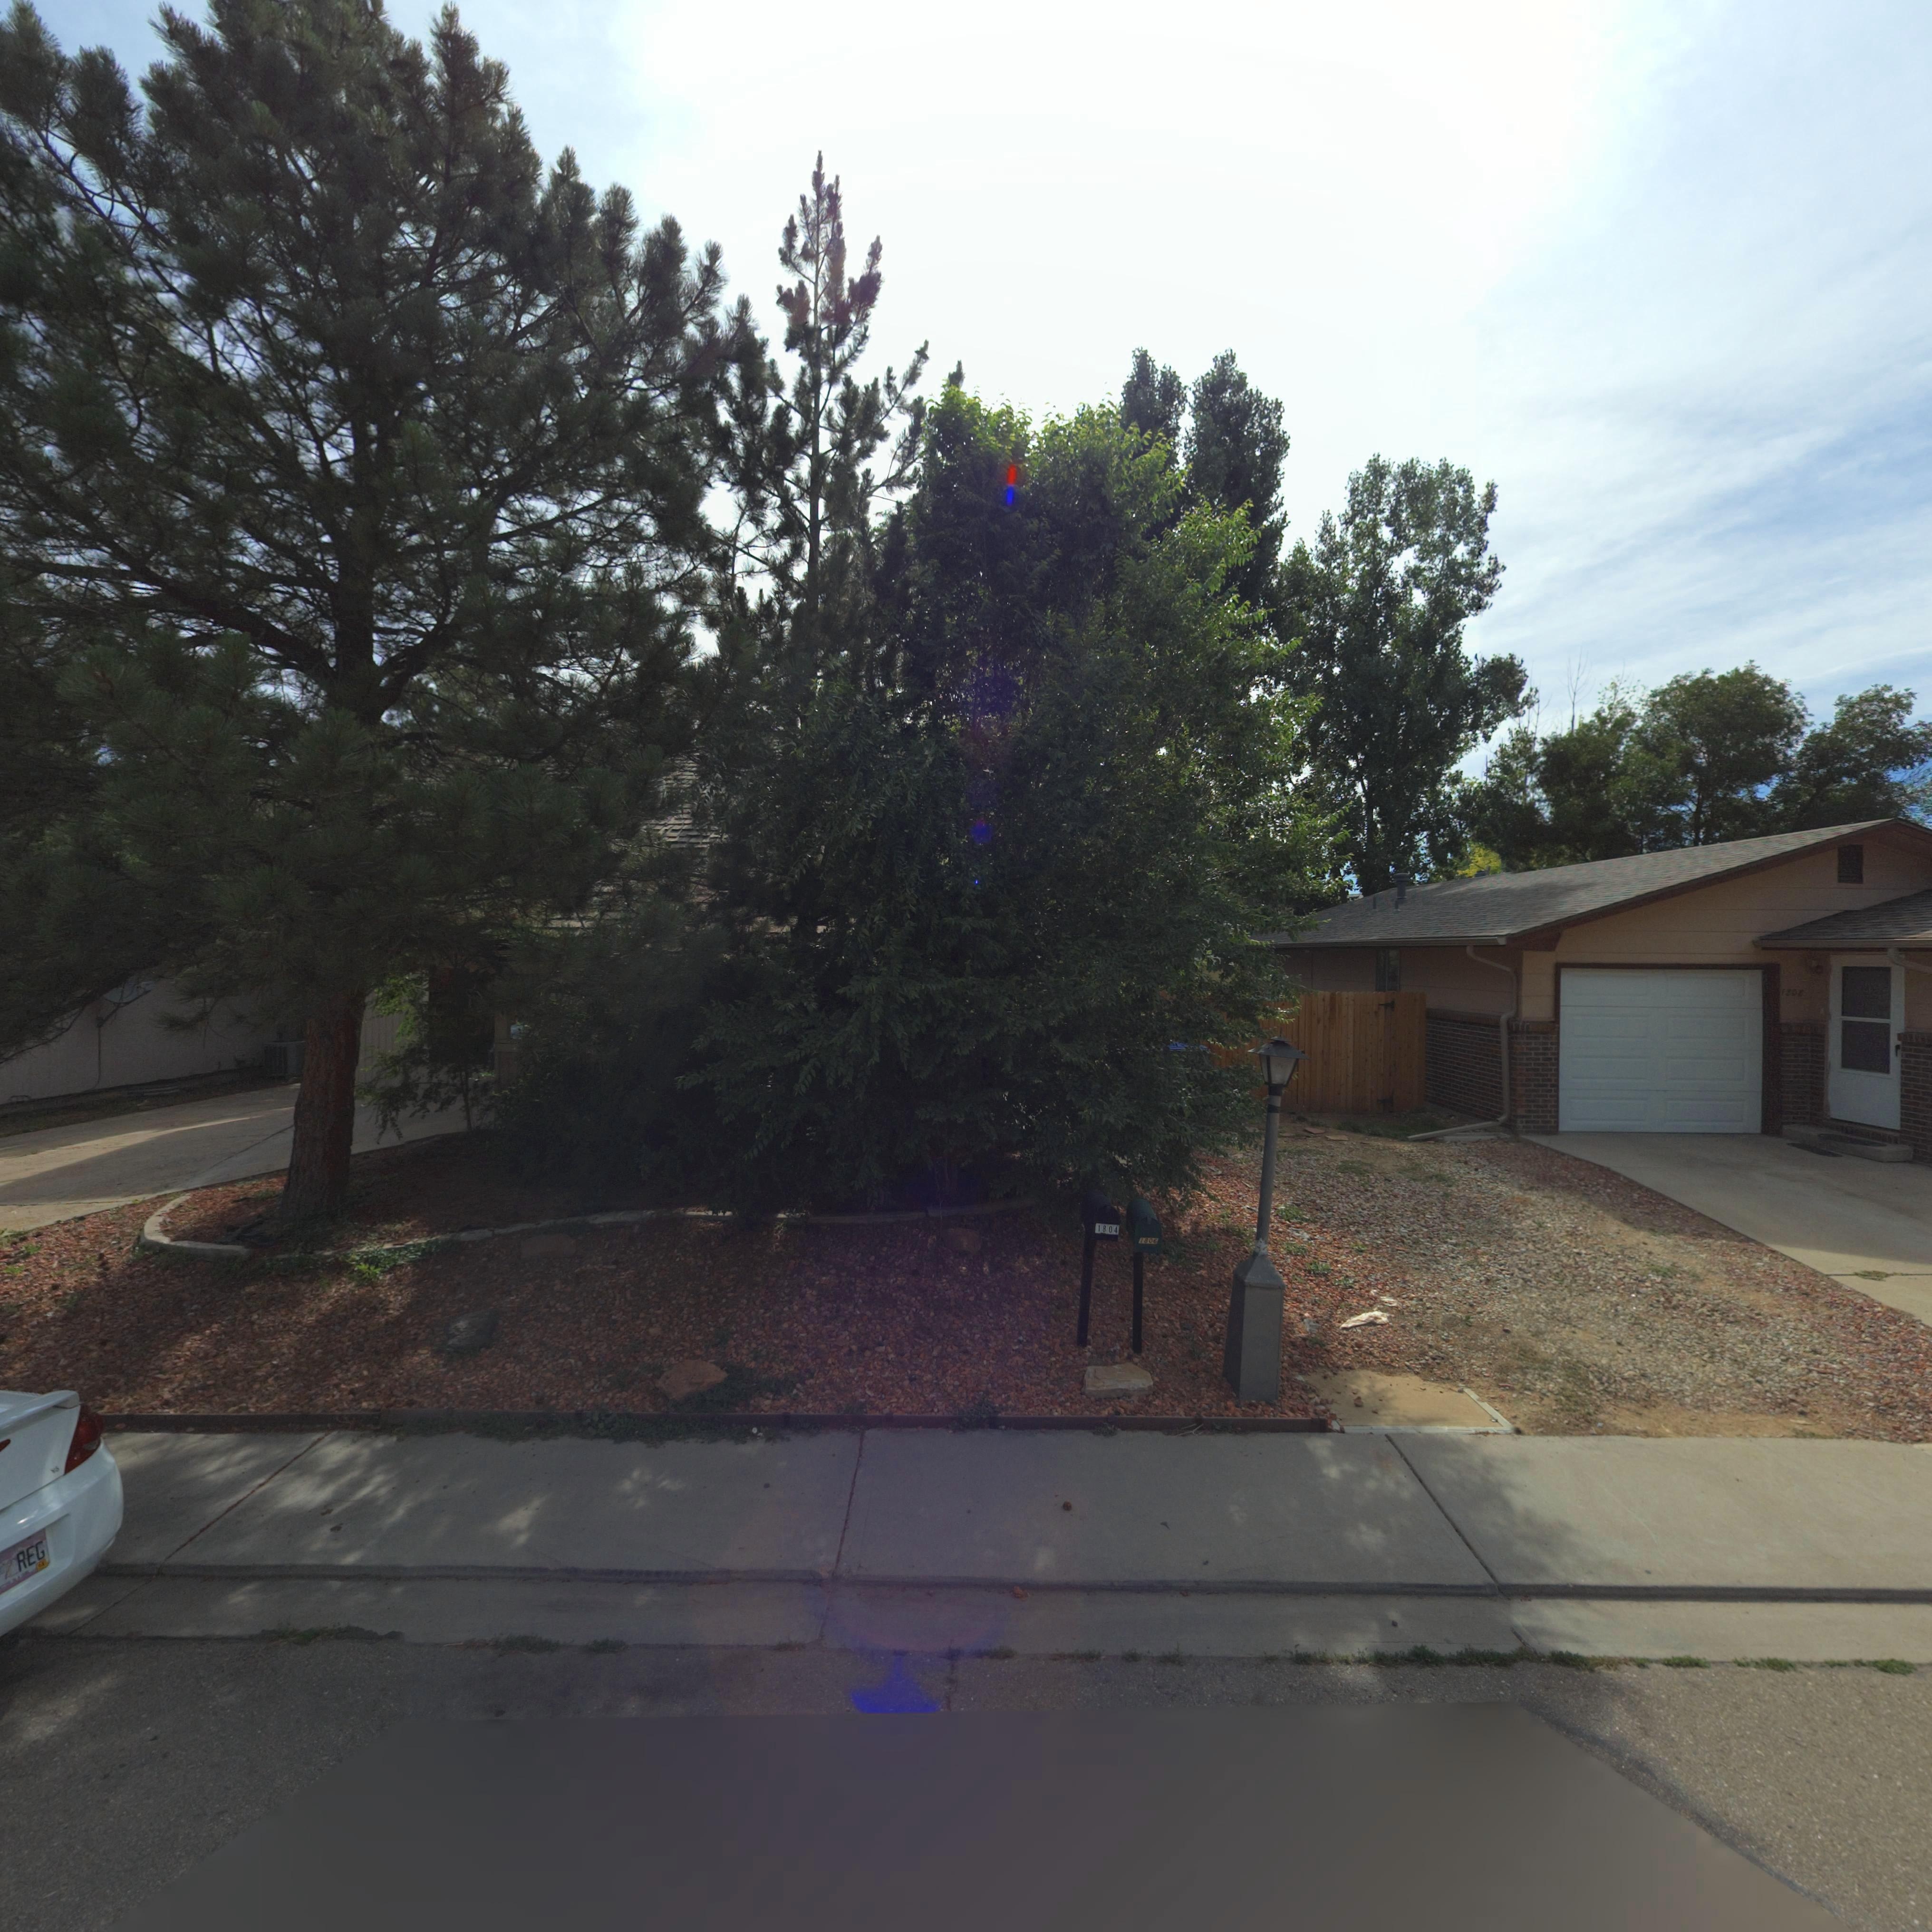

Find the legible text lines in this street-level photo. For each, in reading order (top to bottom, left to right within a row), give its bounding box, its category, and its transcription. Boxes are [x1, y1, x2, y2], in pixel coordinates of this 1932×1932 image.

[1780, 987, 1805, 997] StreetNumber: 180*
[1098, 1224, 1118, 1234] StreetNumber: 1804
[1140, 1237, 1158, 1244] StreetNumber: 1806